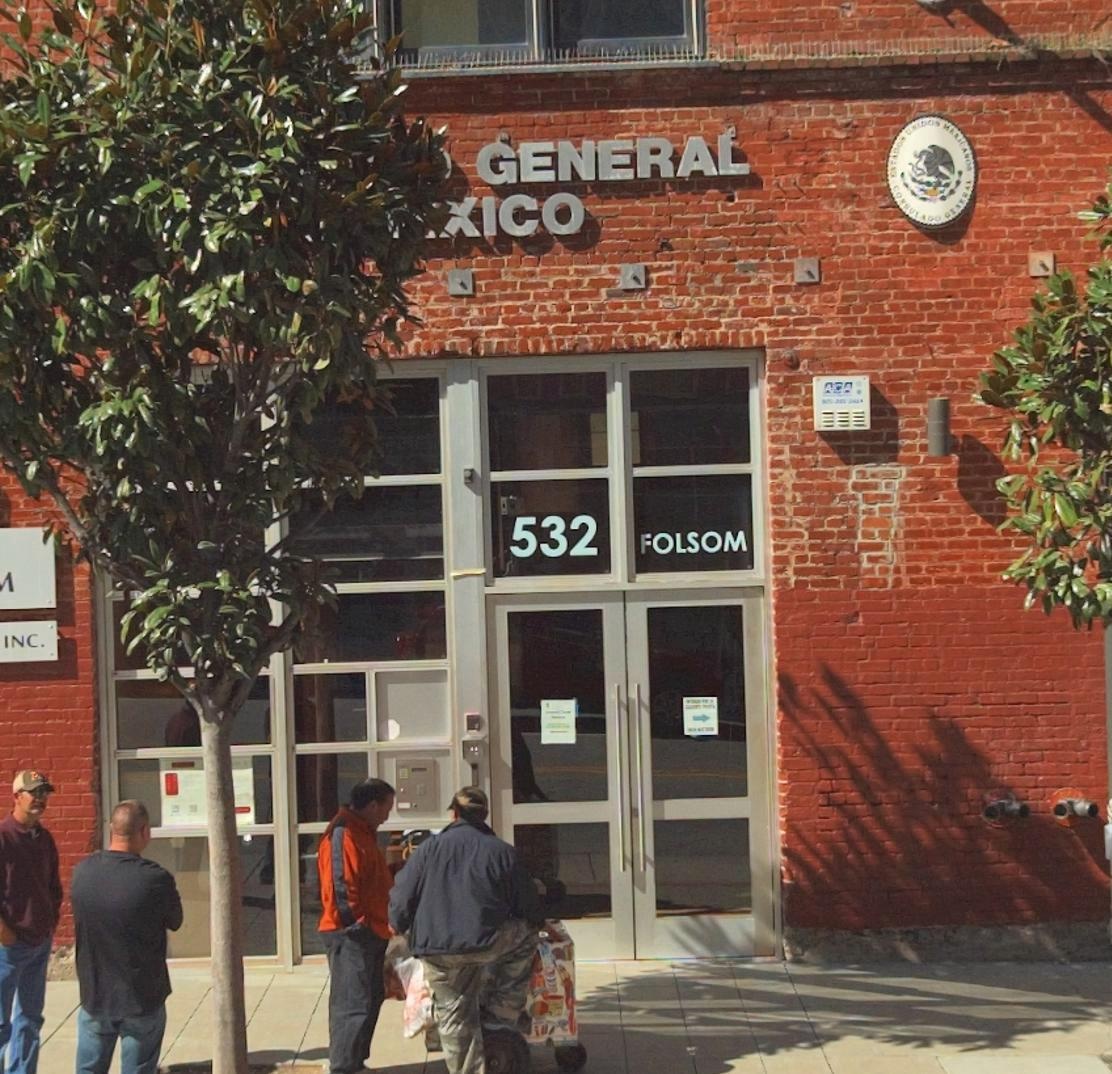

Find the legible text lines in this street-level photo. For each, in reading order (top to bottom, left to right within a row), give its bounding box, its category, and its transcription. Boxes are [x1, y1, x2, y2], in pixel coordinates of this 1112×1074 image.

[469, 131, 758, 191] BusinessName: GENERAL
[435, 186, 595, 244] BusinessName: XICO
[508, 511, 603, 562] StreetNumber: 532
[634, 525, 754, 560] StreetName: FOLSOM
[1, 628, 52, 652] None: INC.